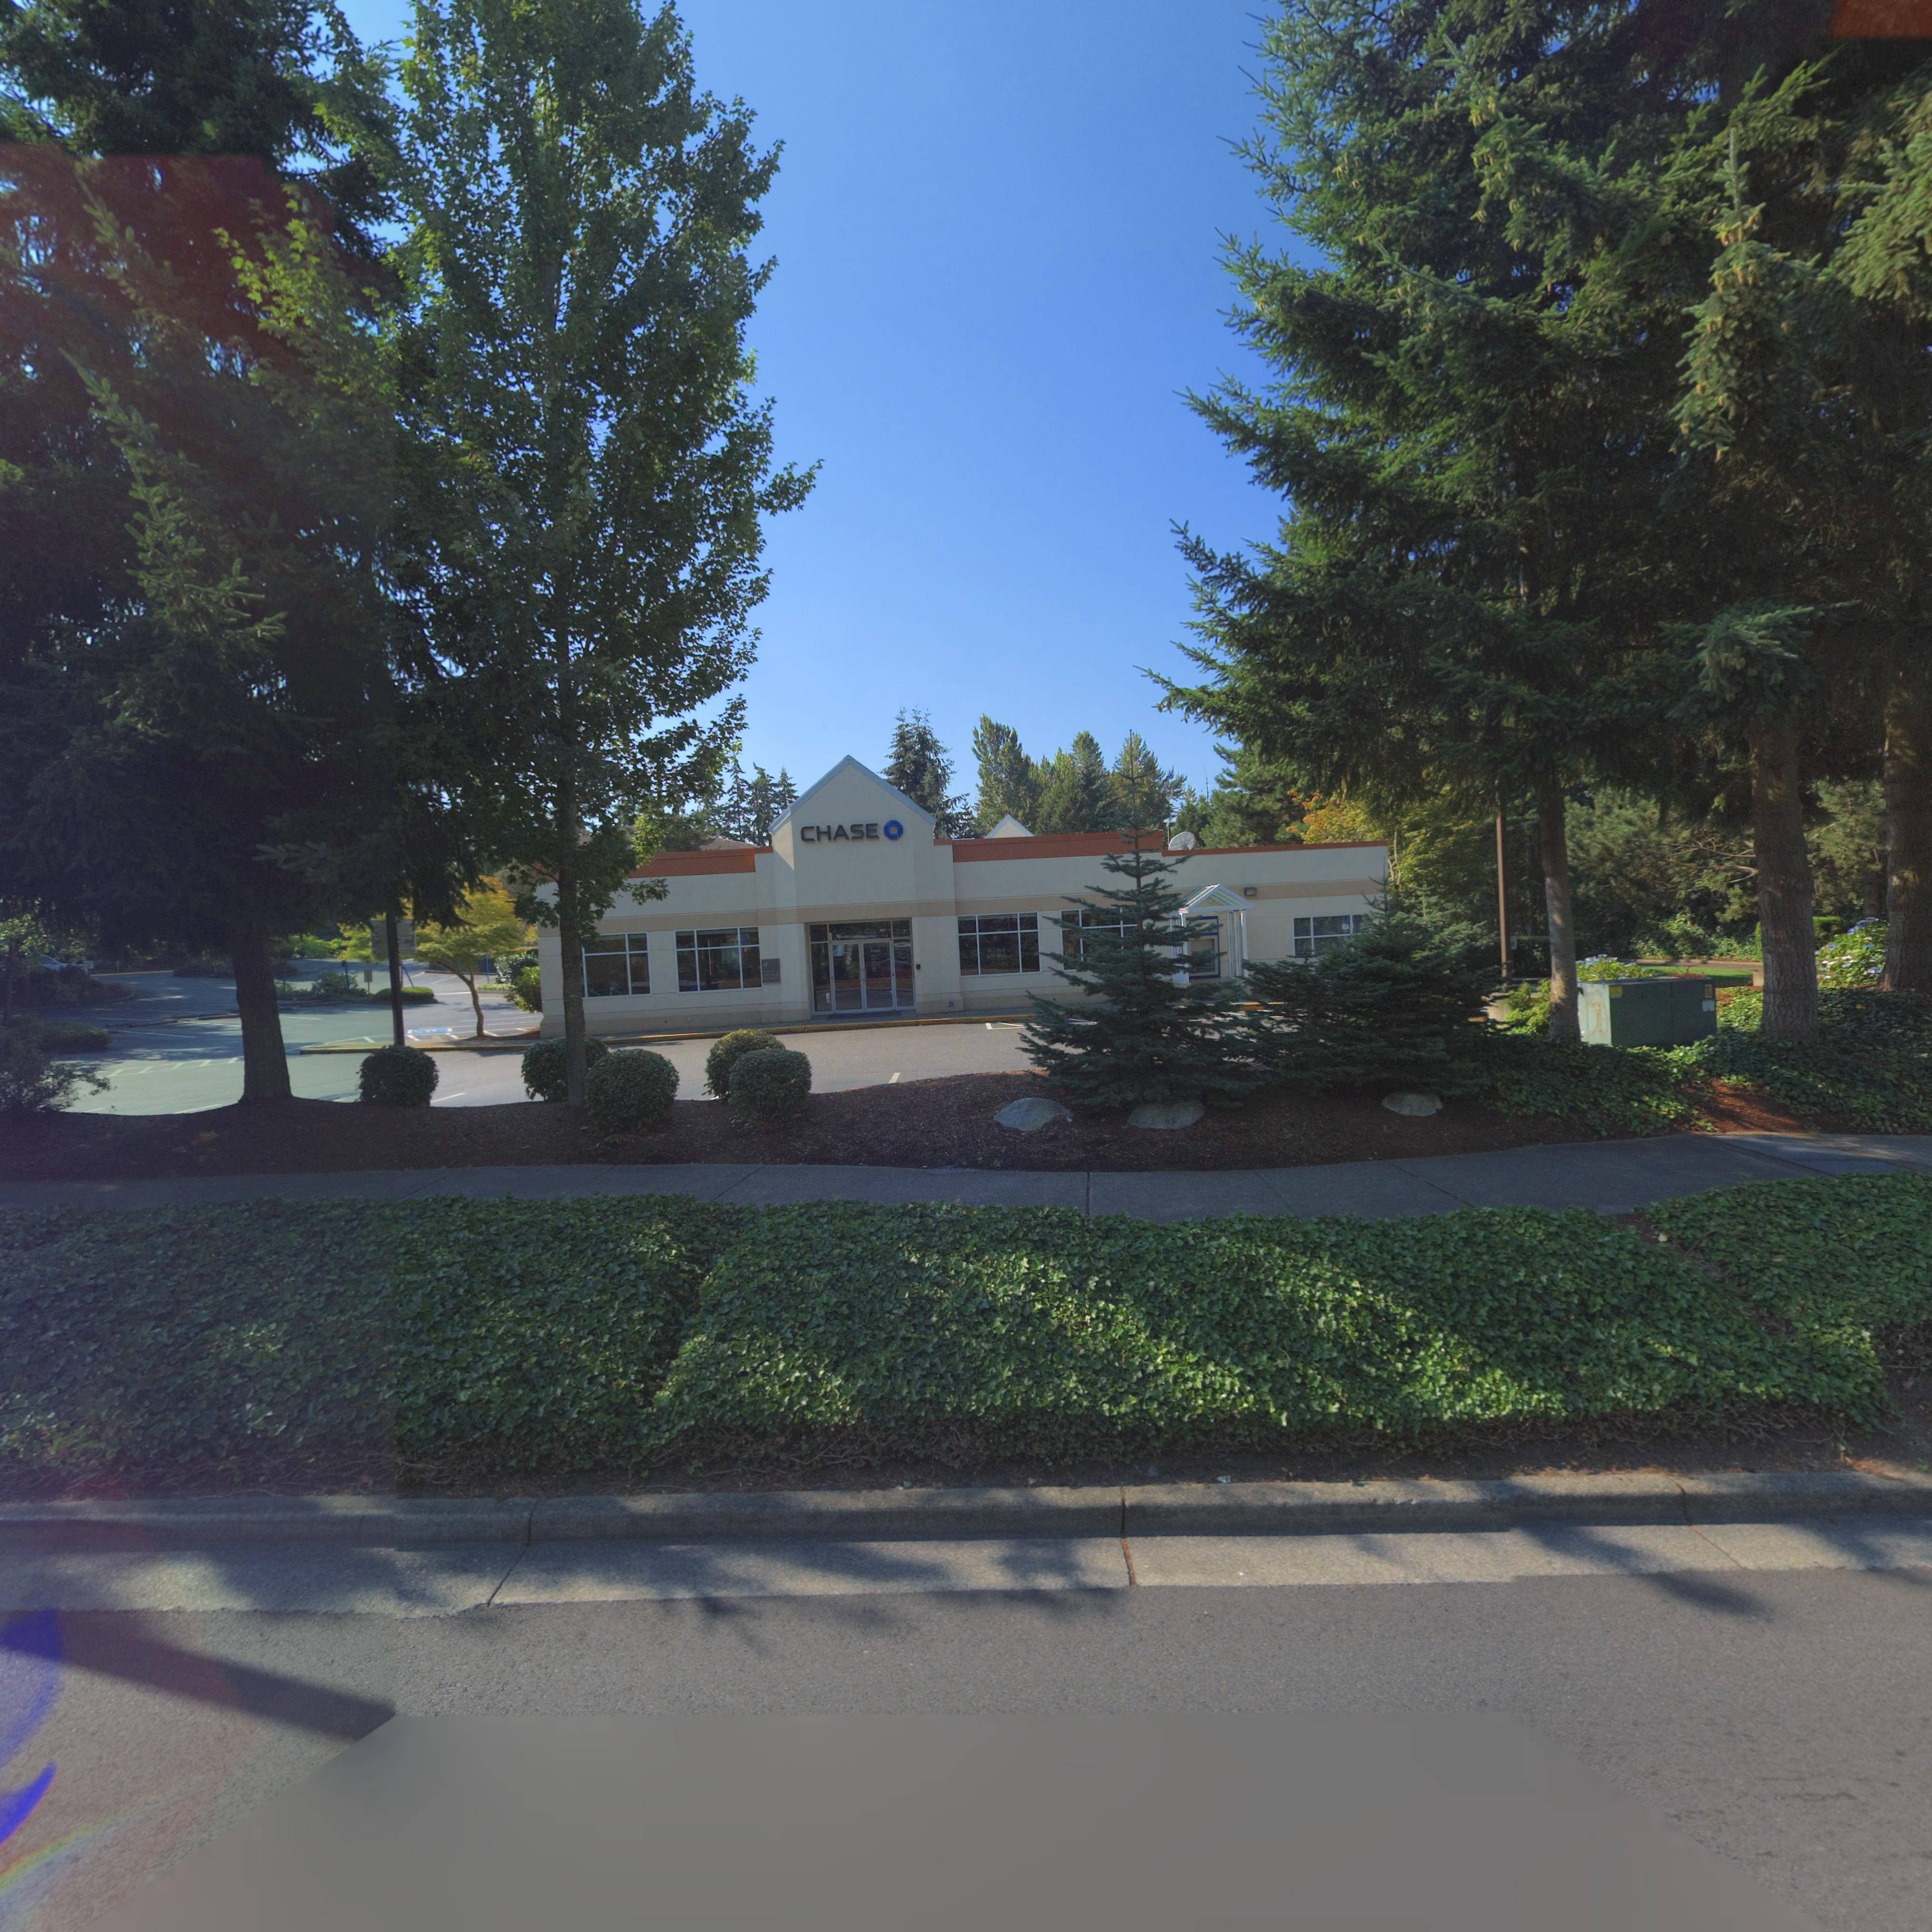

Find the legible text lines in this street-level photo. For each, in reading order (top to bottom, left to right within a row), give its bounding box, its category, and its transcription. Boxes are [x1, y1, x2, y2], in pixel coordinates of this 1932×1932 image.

[800, 823, 879, 841] BusinessName: CHASE